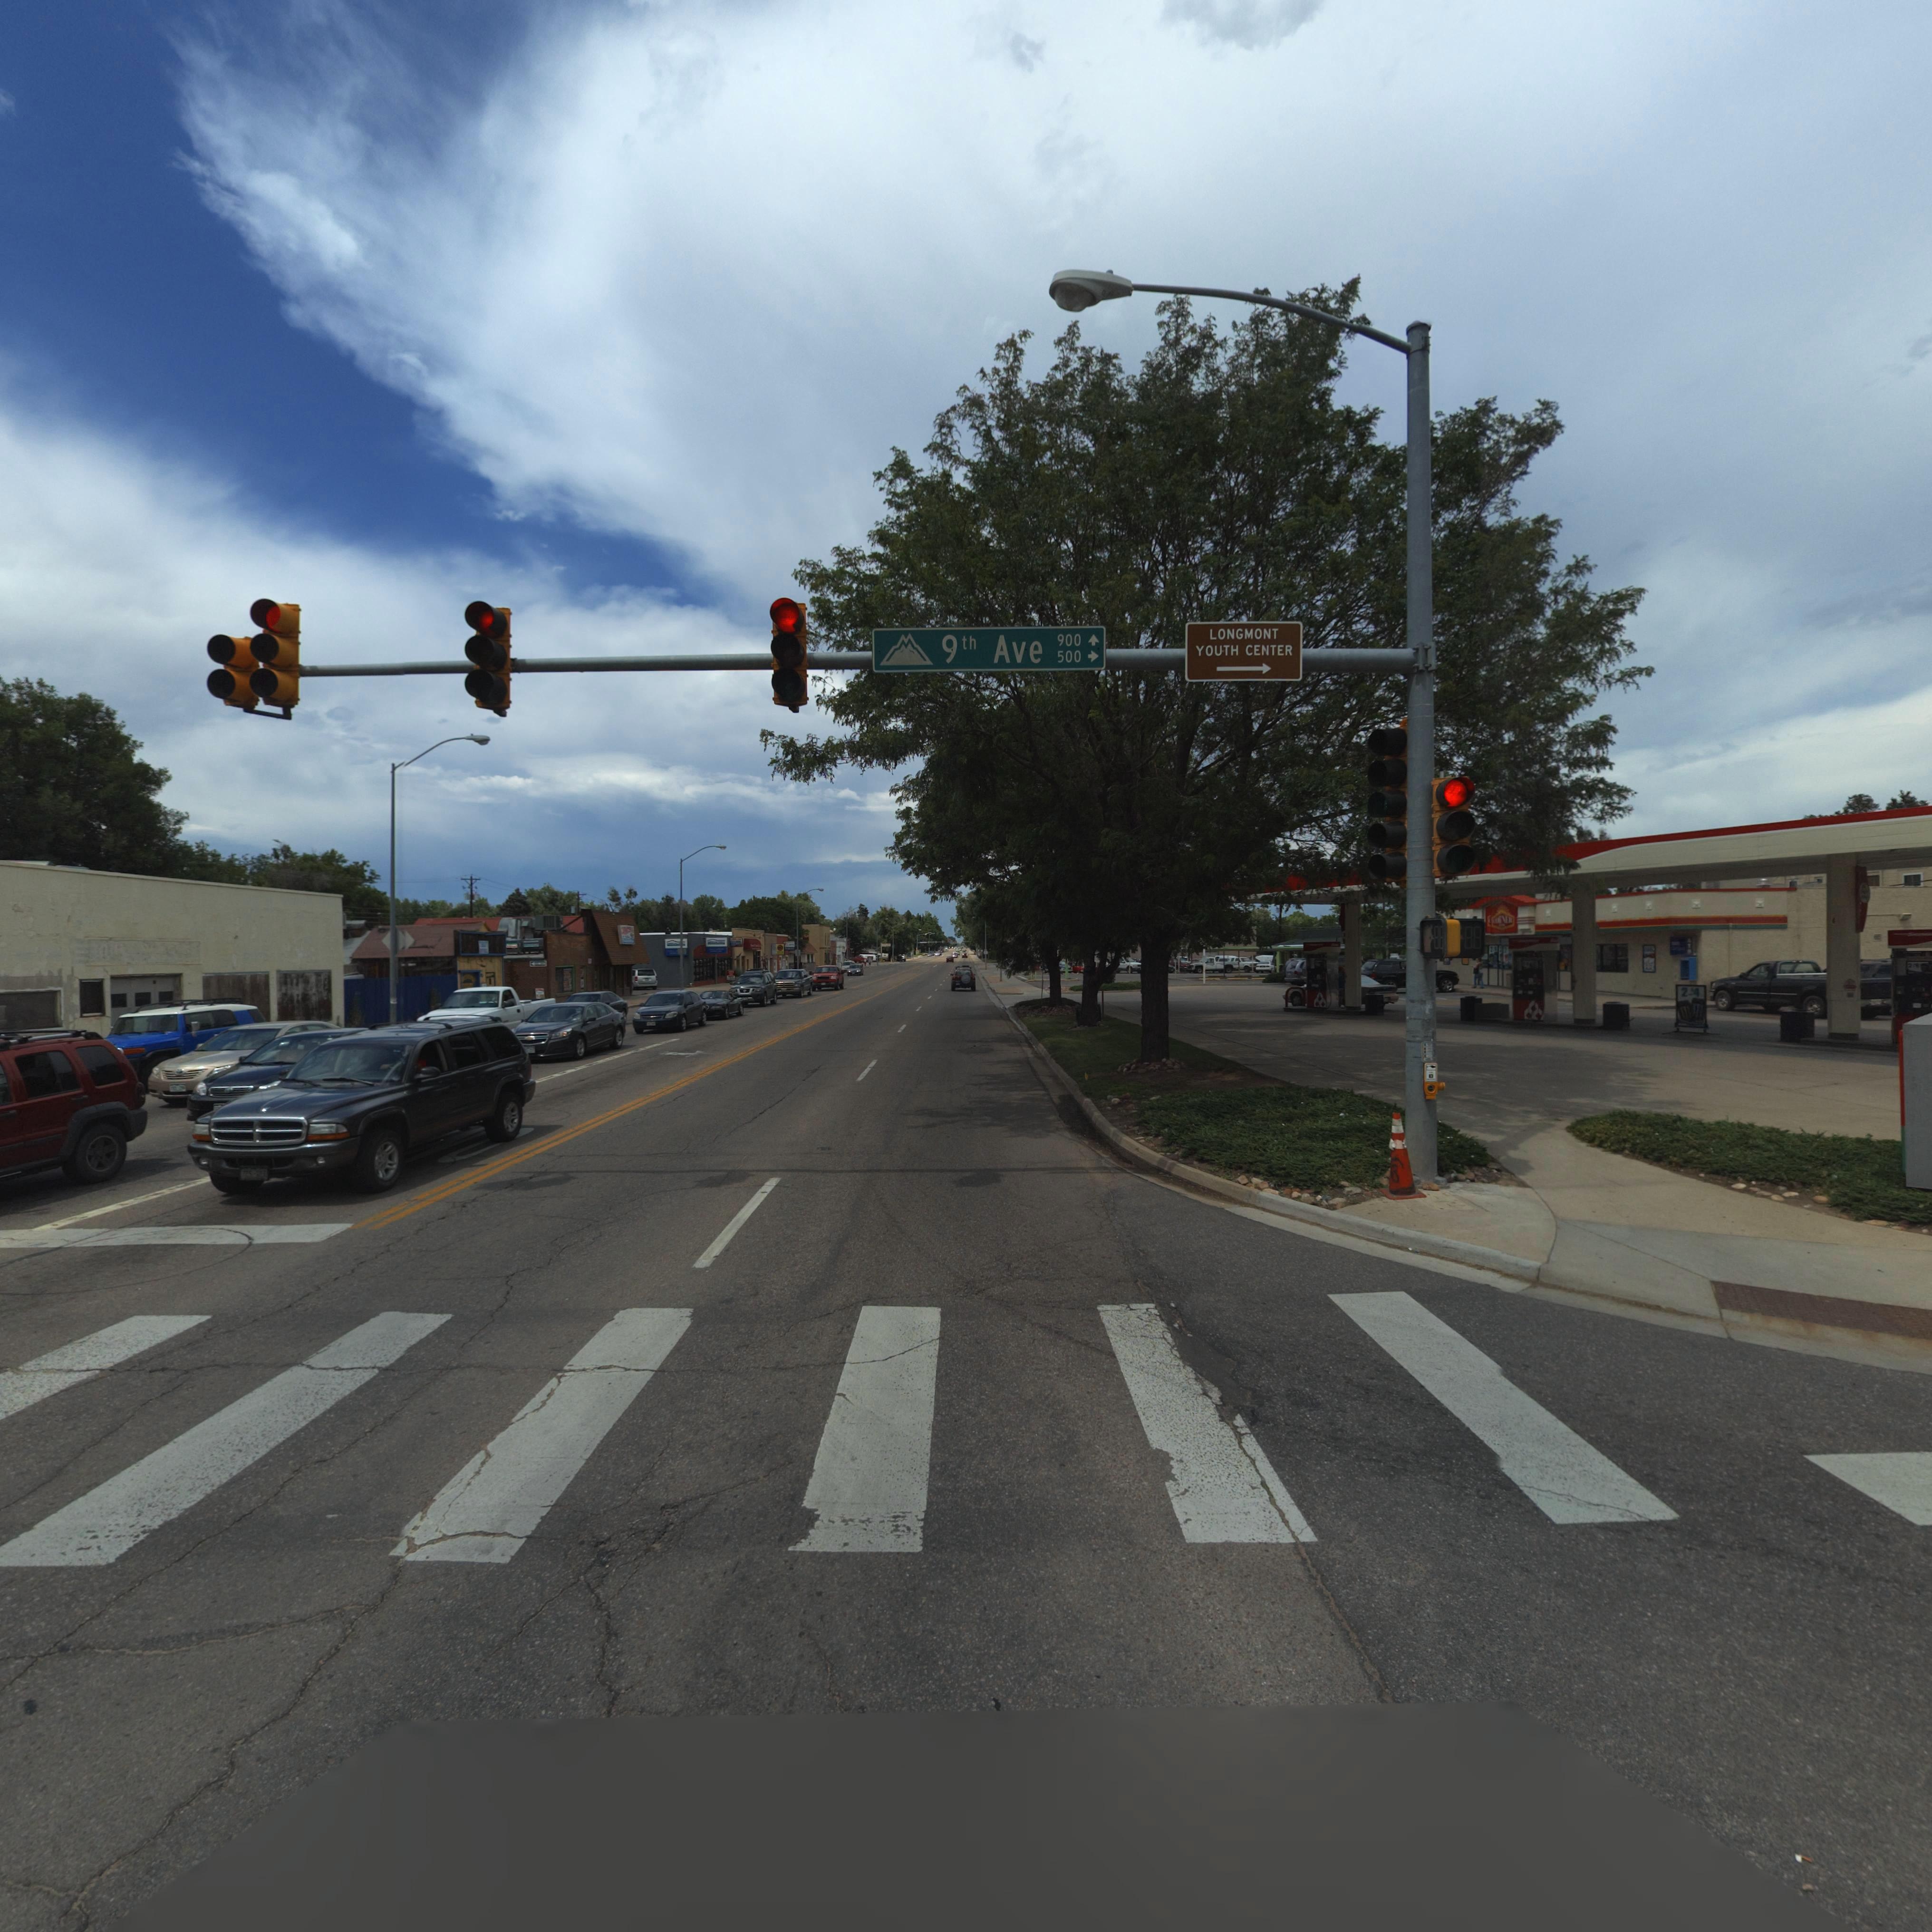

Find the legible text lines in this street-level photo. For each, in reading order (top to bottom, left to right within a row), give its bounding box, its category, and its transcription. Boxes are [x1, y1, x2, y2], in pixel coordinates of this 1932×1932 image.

[1057, 634, 1081, 647] StreetNumberRange: 900
[940, 634, 1043, 664] StreetName: 9th Ave
[1057, 649, 1097, 663] StreetNumberRange: 500 ->